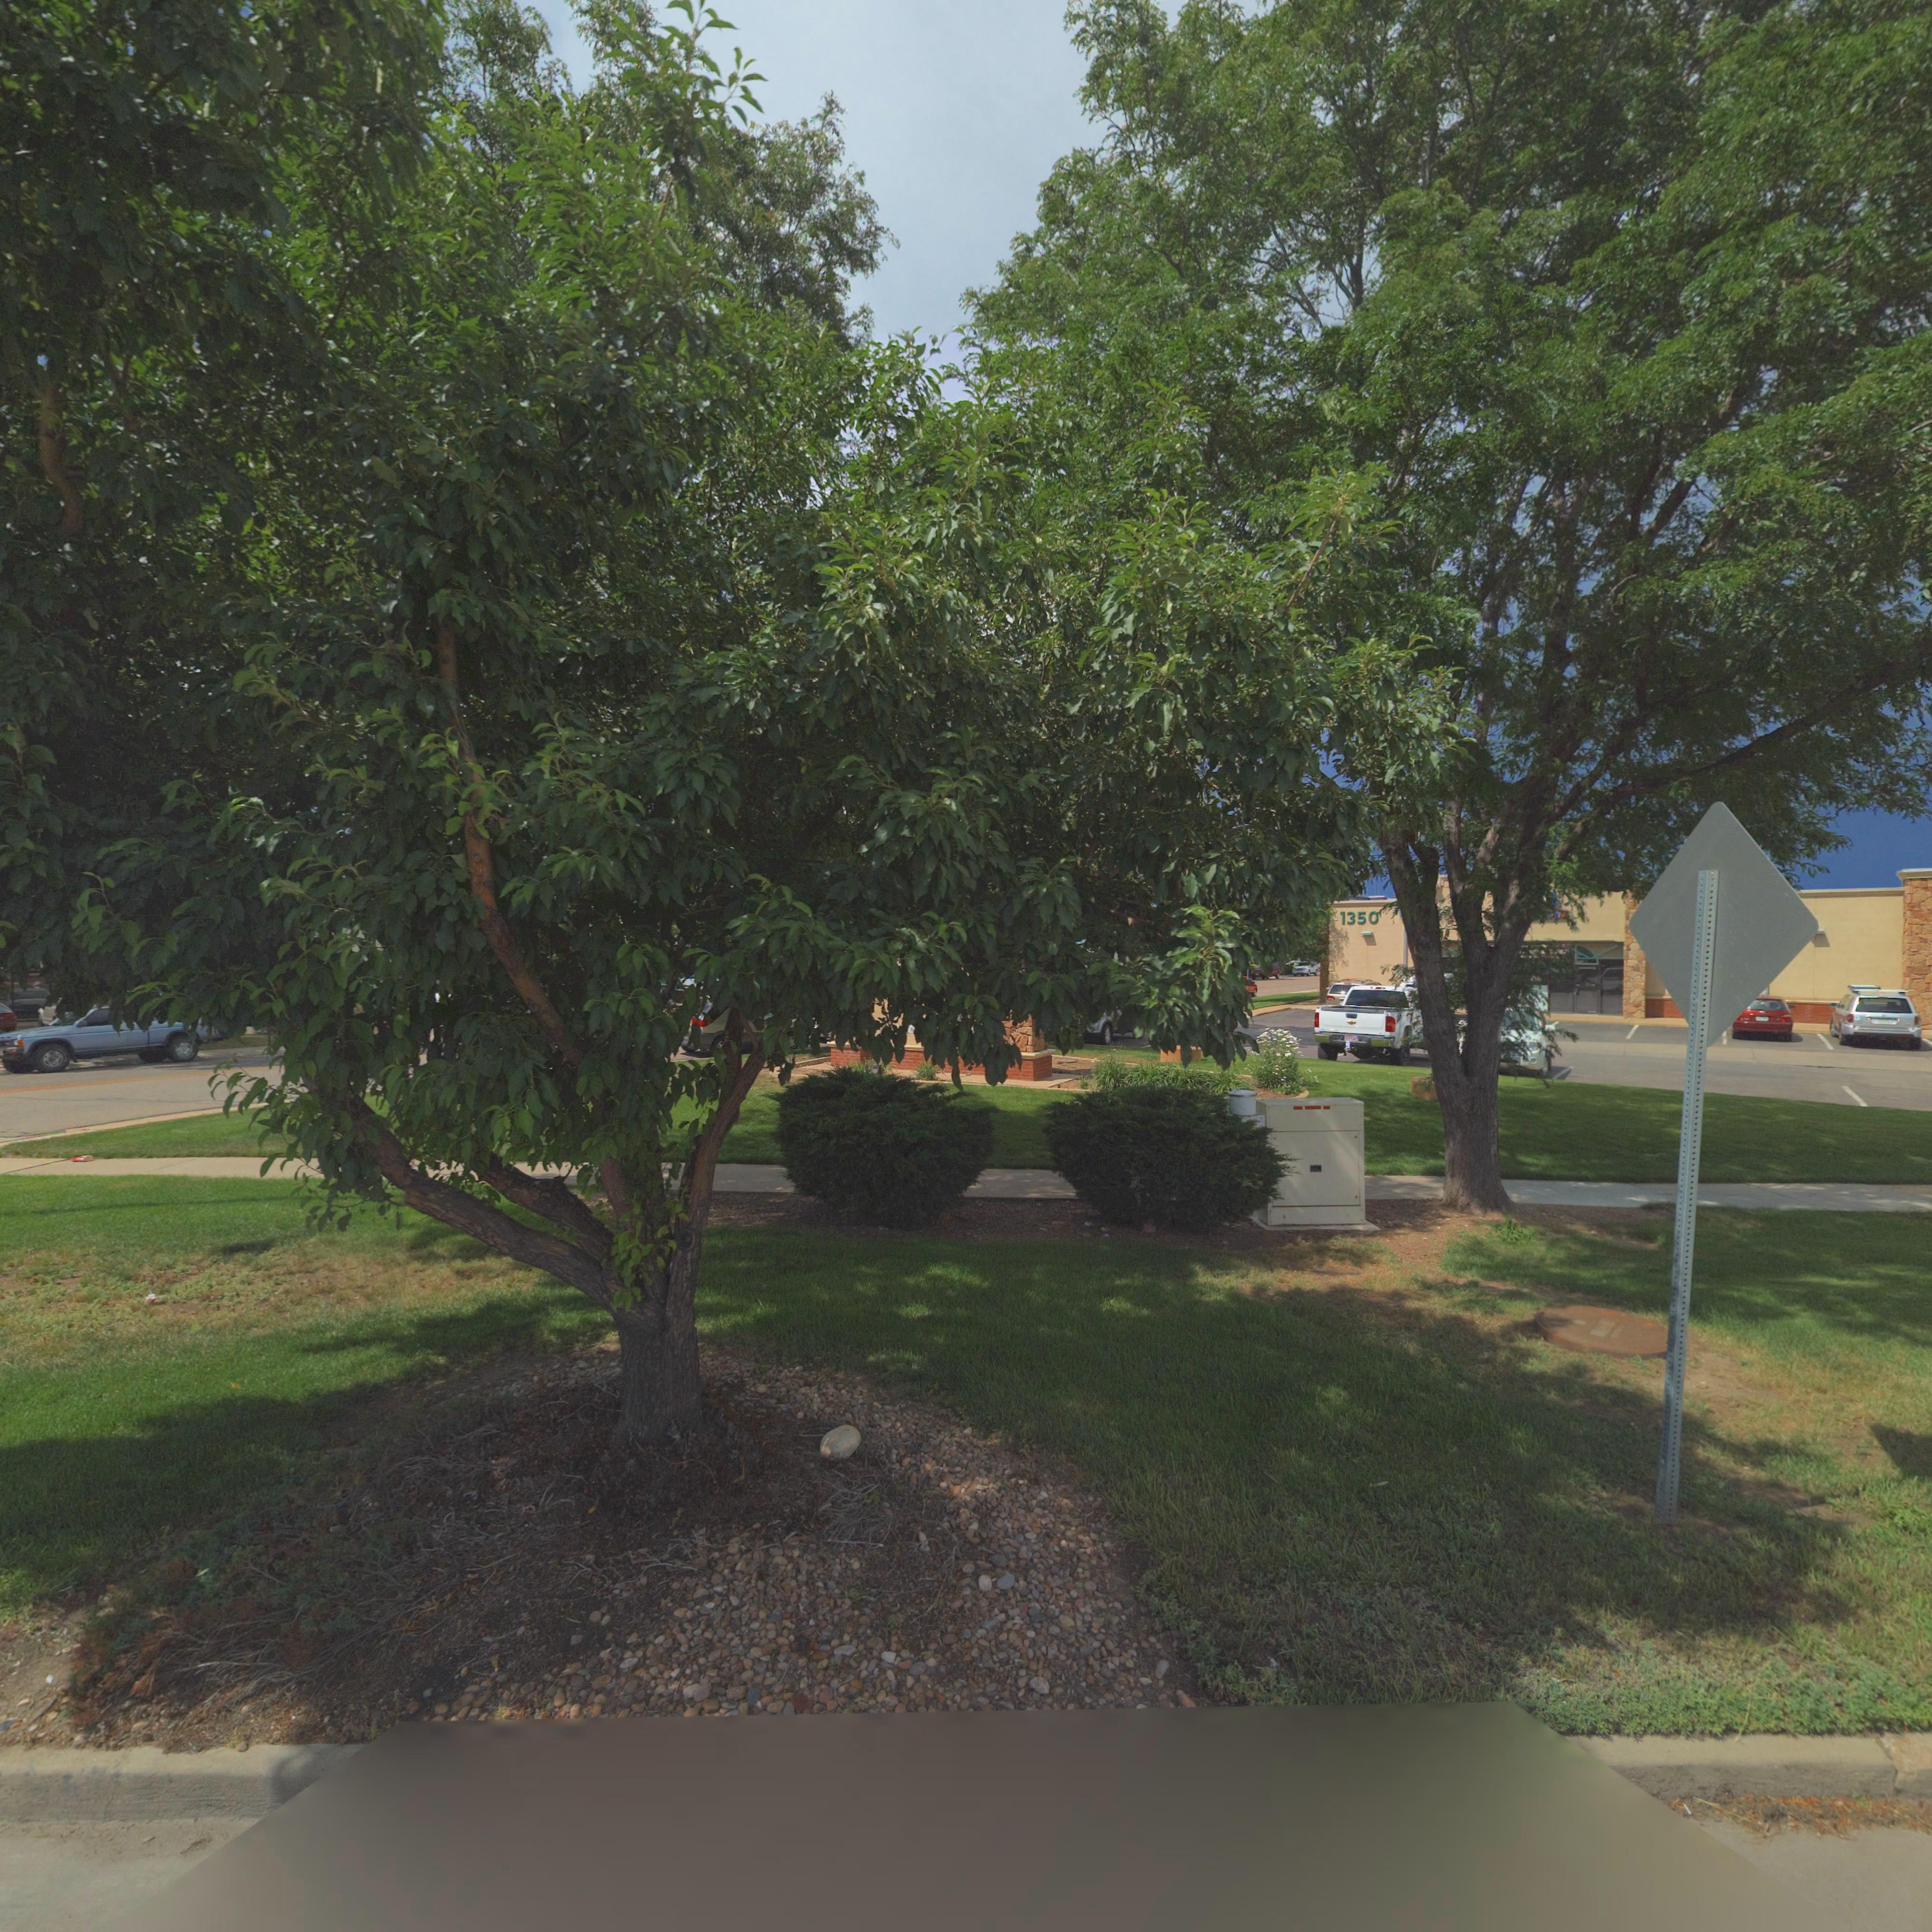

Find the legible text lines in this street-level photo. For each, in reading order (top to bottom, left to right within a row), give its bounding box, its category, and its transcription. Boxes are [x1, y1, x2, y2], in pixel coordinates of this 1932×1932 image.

[1340, 910, 1379, 925] StreetNumber: 1350